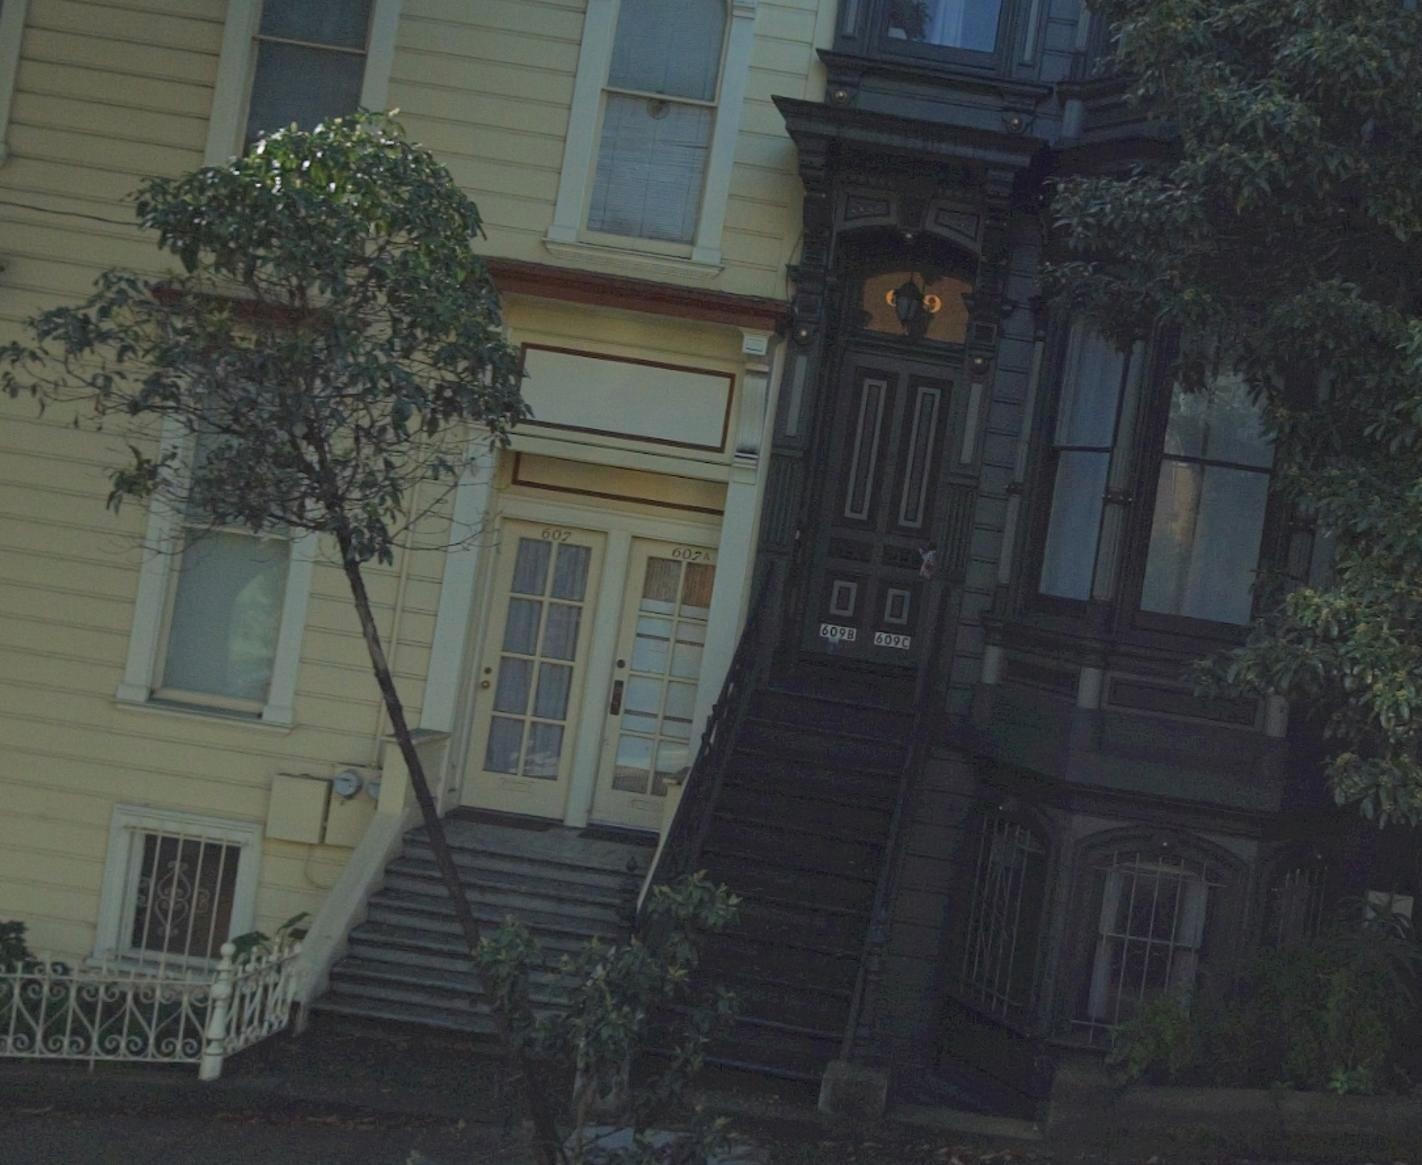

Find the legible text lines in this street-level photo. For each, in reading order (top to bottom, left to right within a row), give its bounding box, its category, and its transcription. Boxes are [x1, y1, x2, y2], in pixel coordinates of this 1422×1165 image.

[920, 292, 944, 316] StreetNumber: 9
[539, 525, 577, 544] StreetNumber: 607
[669, 544, 712, 563] StreetNumber: 607 A
[818, 623, 856, 643] StreetNumber: 609 B
[874, 631, 911, 650] StreetNumber: 609 C